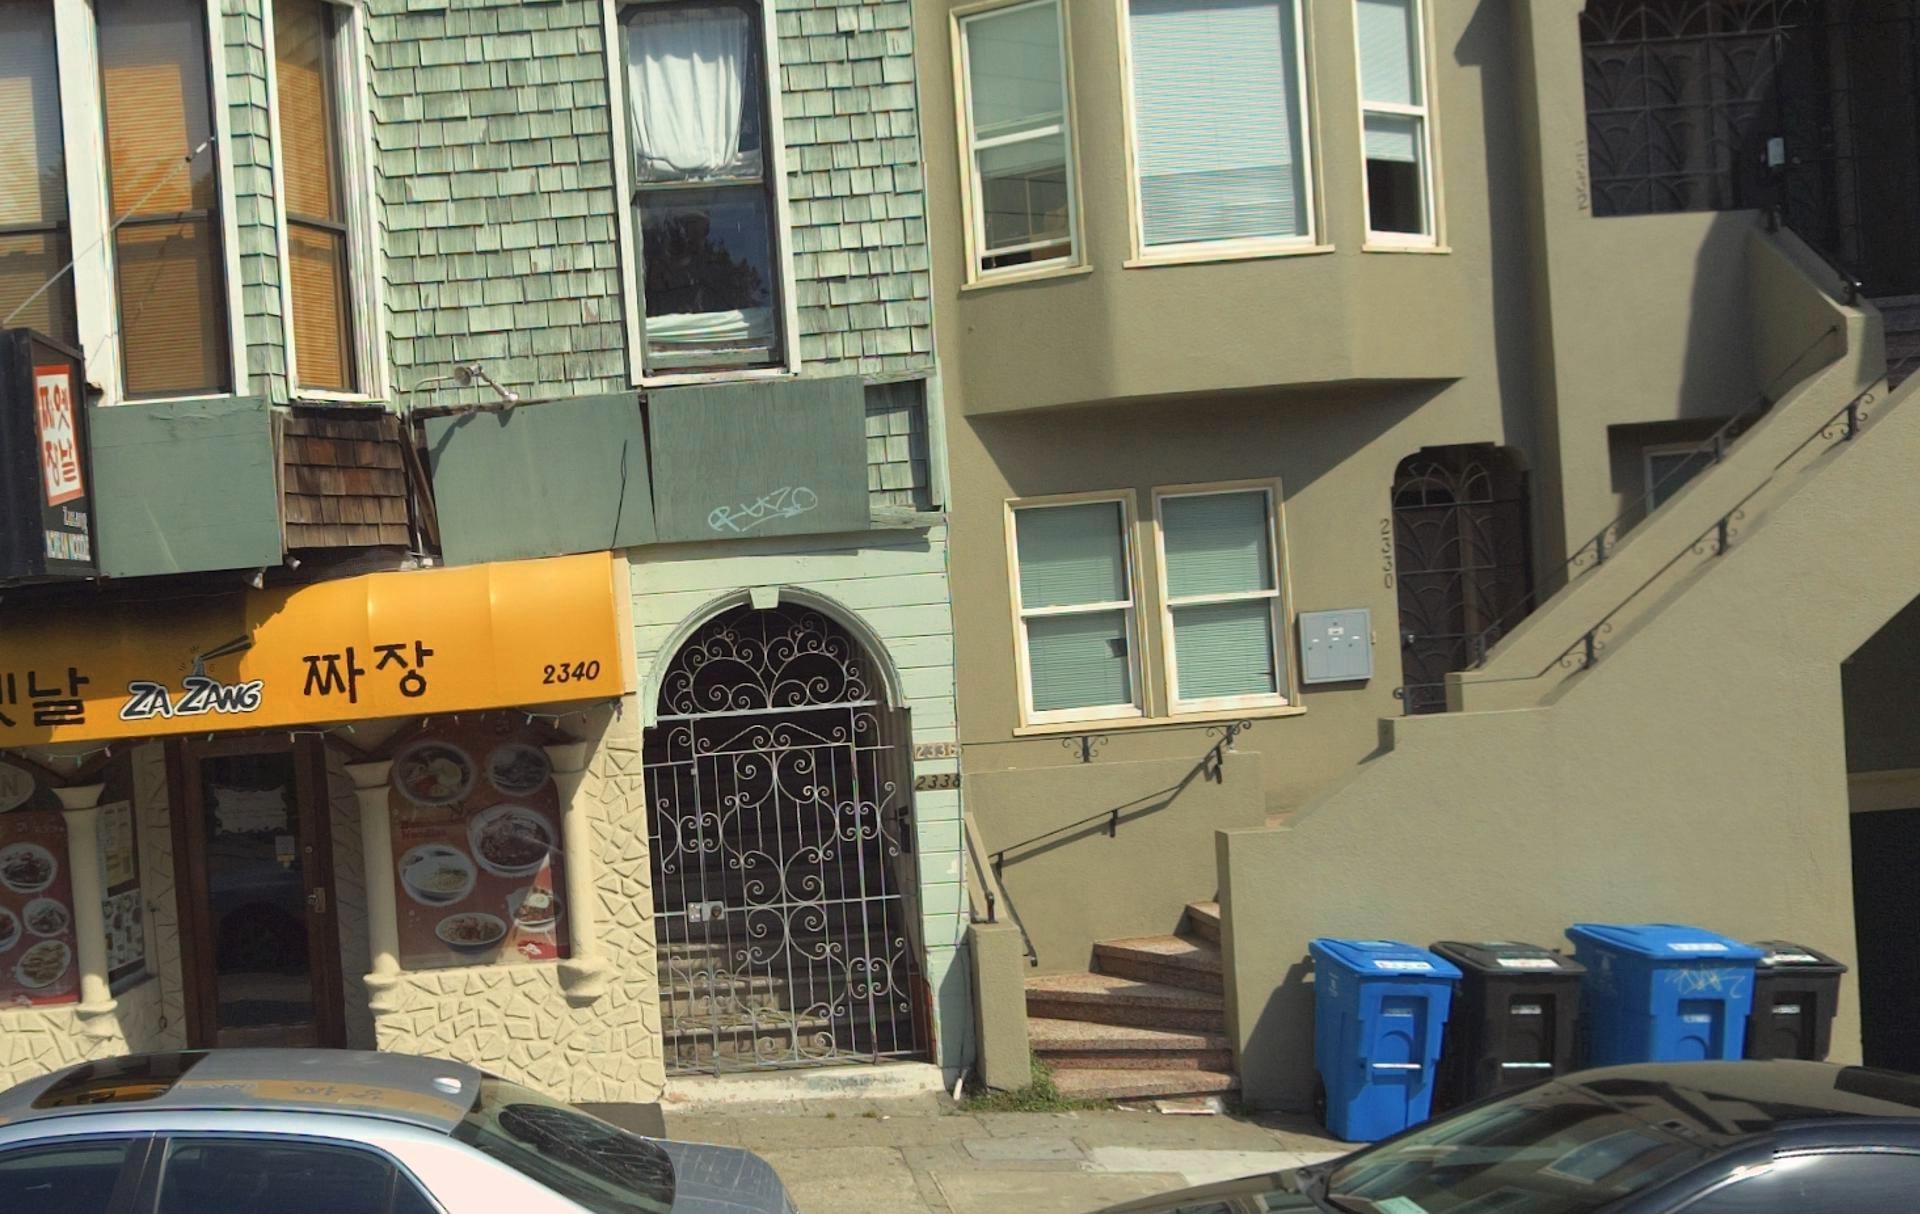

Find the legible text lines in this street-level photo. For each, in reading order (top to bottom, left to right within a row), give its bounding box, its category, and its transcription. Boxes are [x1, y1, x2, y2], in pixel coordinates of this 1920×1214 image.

[1573, 137, 1590, 212] StreetNumber: 2332
[1378, 516, 1396, 590] StreetNumber: 2330
[541, 659, 602, 686] StreetNumber: 2340
[113, 675, 270, 722] BusinessName: ZA ZANG
[914, 742, 960, 759] StreetNumber: 2336
[914, 772, 962, 791] StreetNumber: 2338